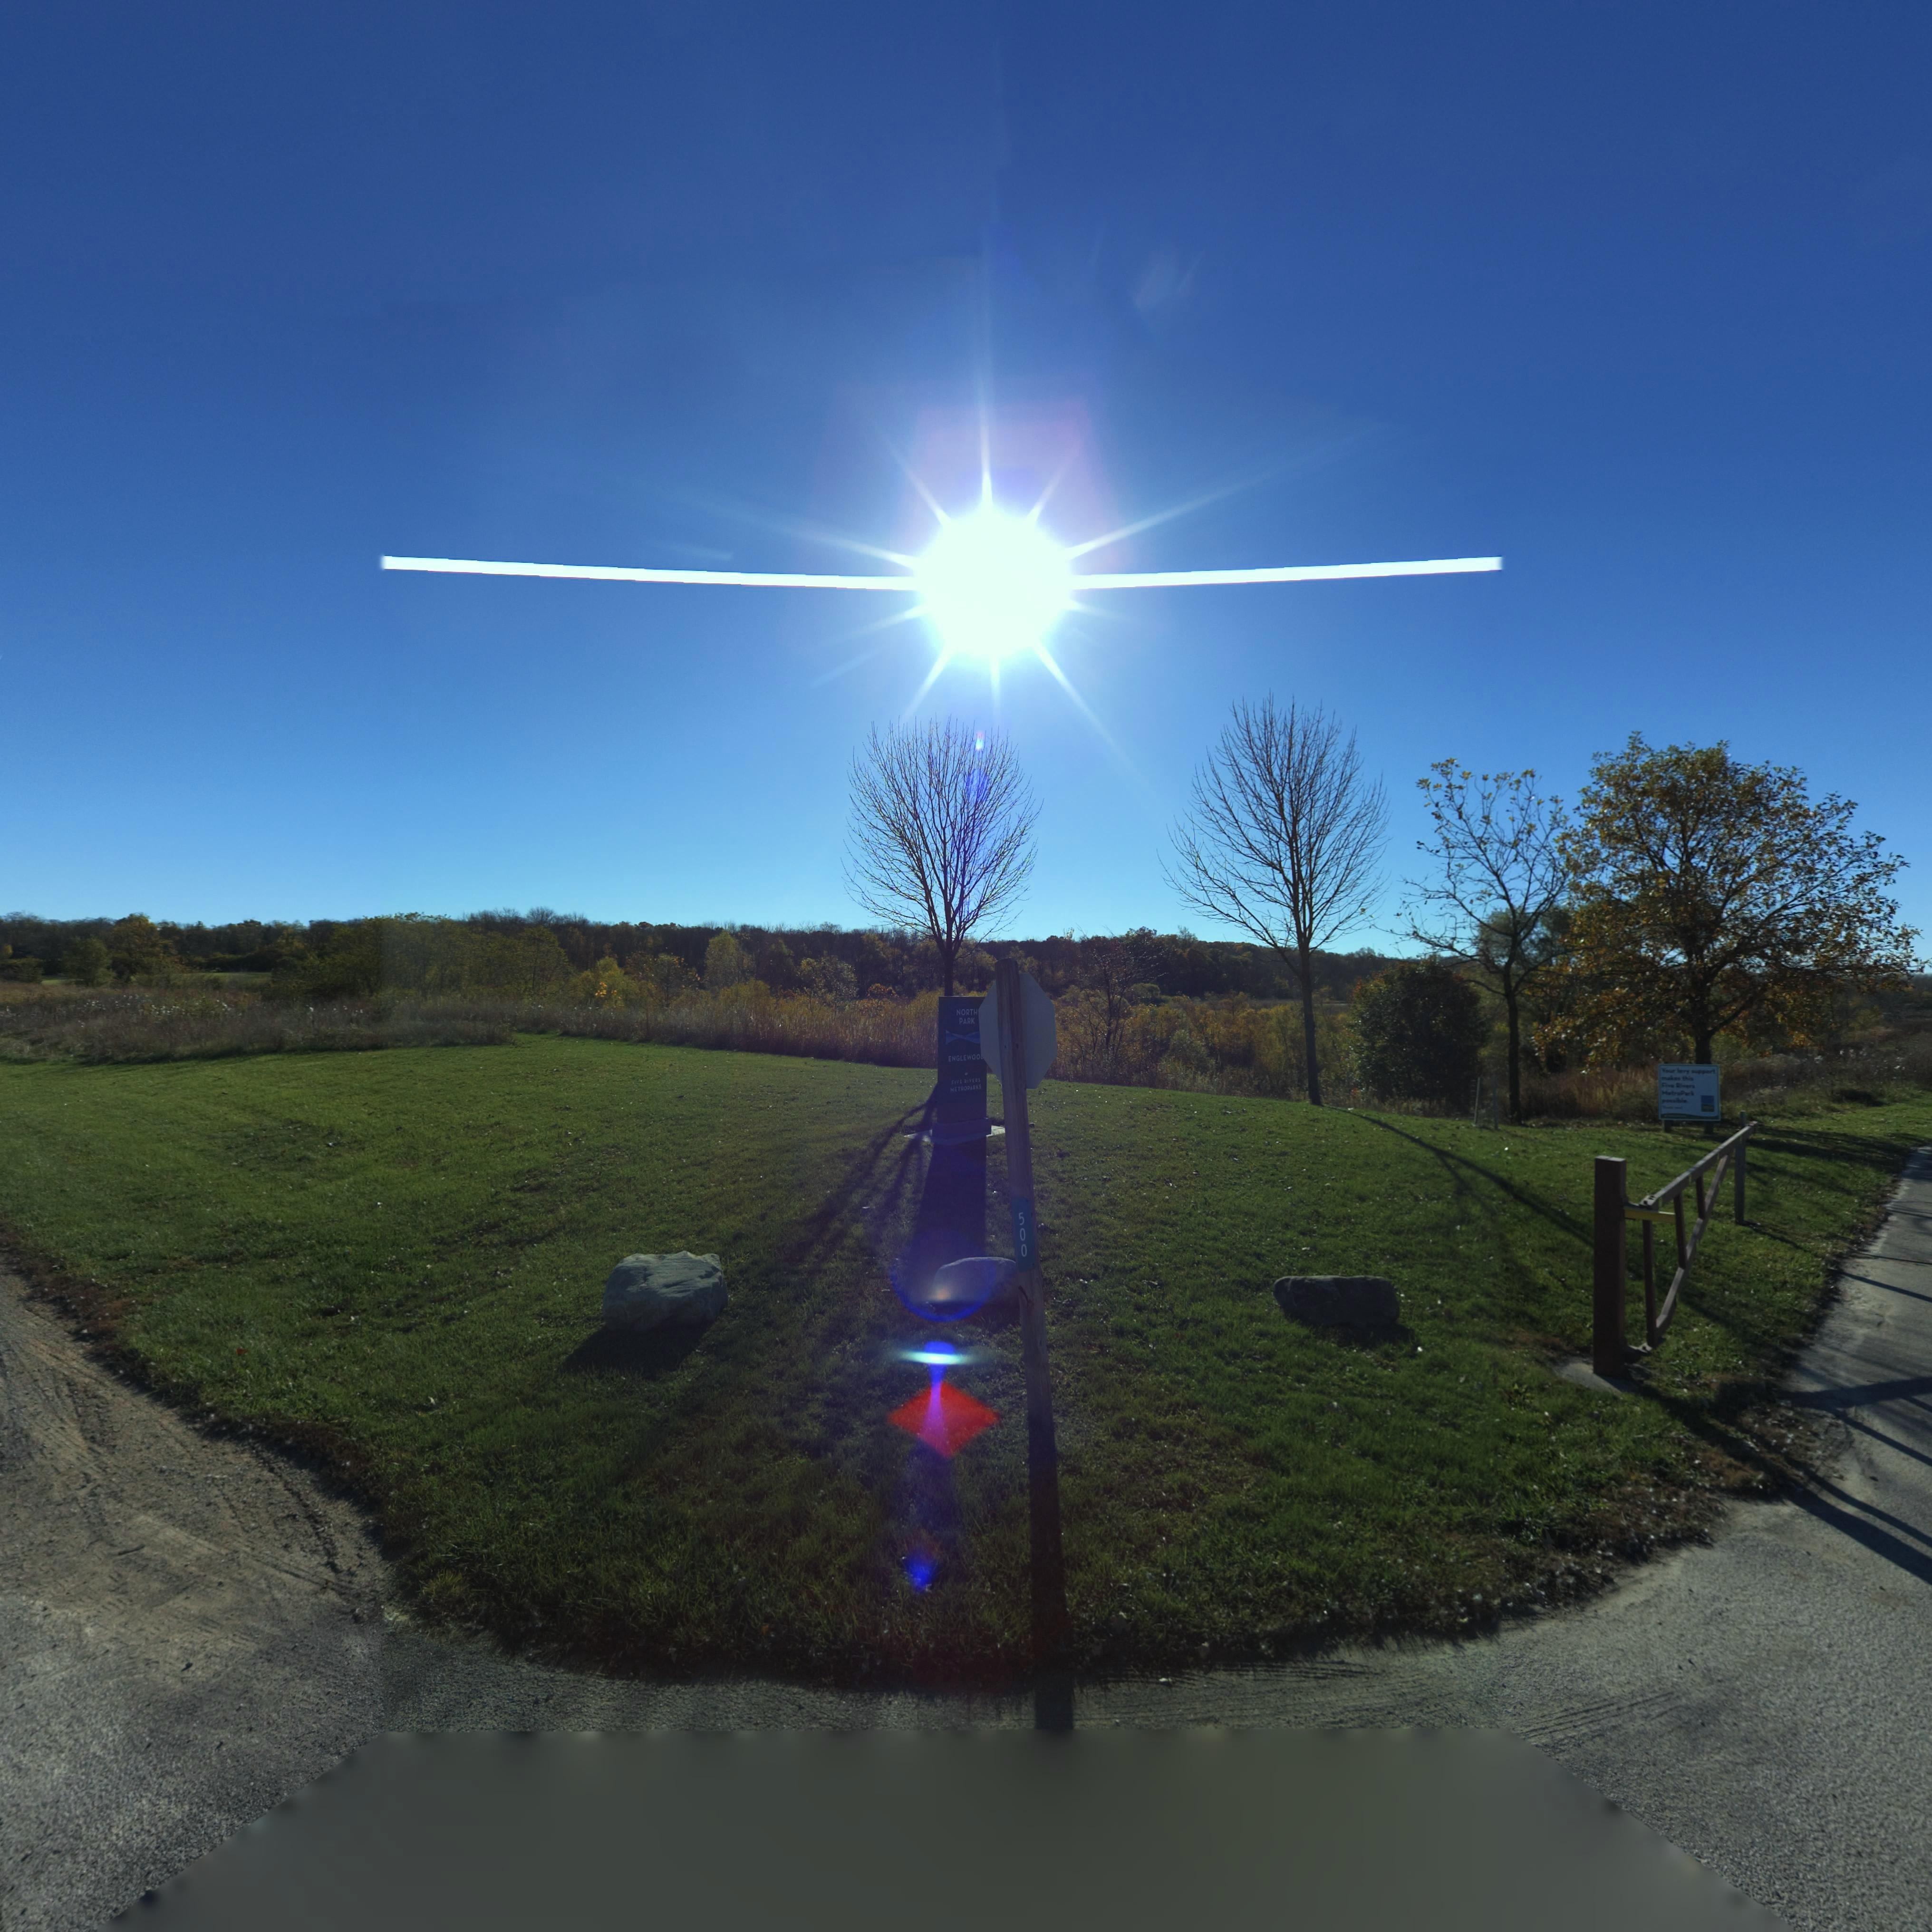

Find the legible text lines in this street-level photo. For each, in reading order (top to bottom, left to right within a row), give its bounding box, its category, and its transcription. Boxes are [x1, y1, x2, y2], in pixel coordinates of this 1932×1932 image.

[955, 1008, 978, 1016] None: NORTH
[958, 1016, 976, 1026] None: PARK
[947, 1053, 981, 1063] None: ENGLEWOO
[950, 1077, 981, 1086] None: FIVE RIVERS
[949, 1083, 982, 1094] None: *ETROPARKS
[1016, 1210, 1029, 1259] StreetNumber: 500